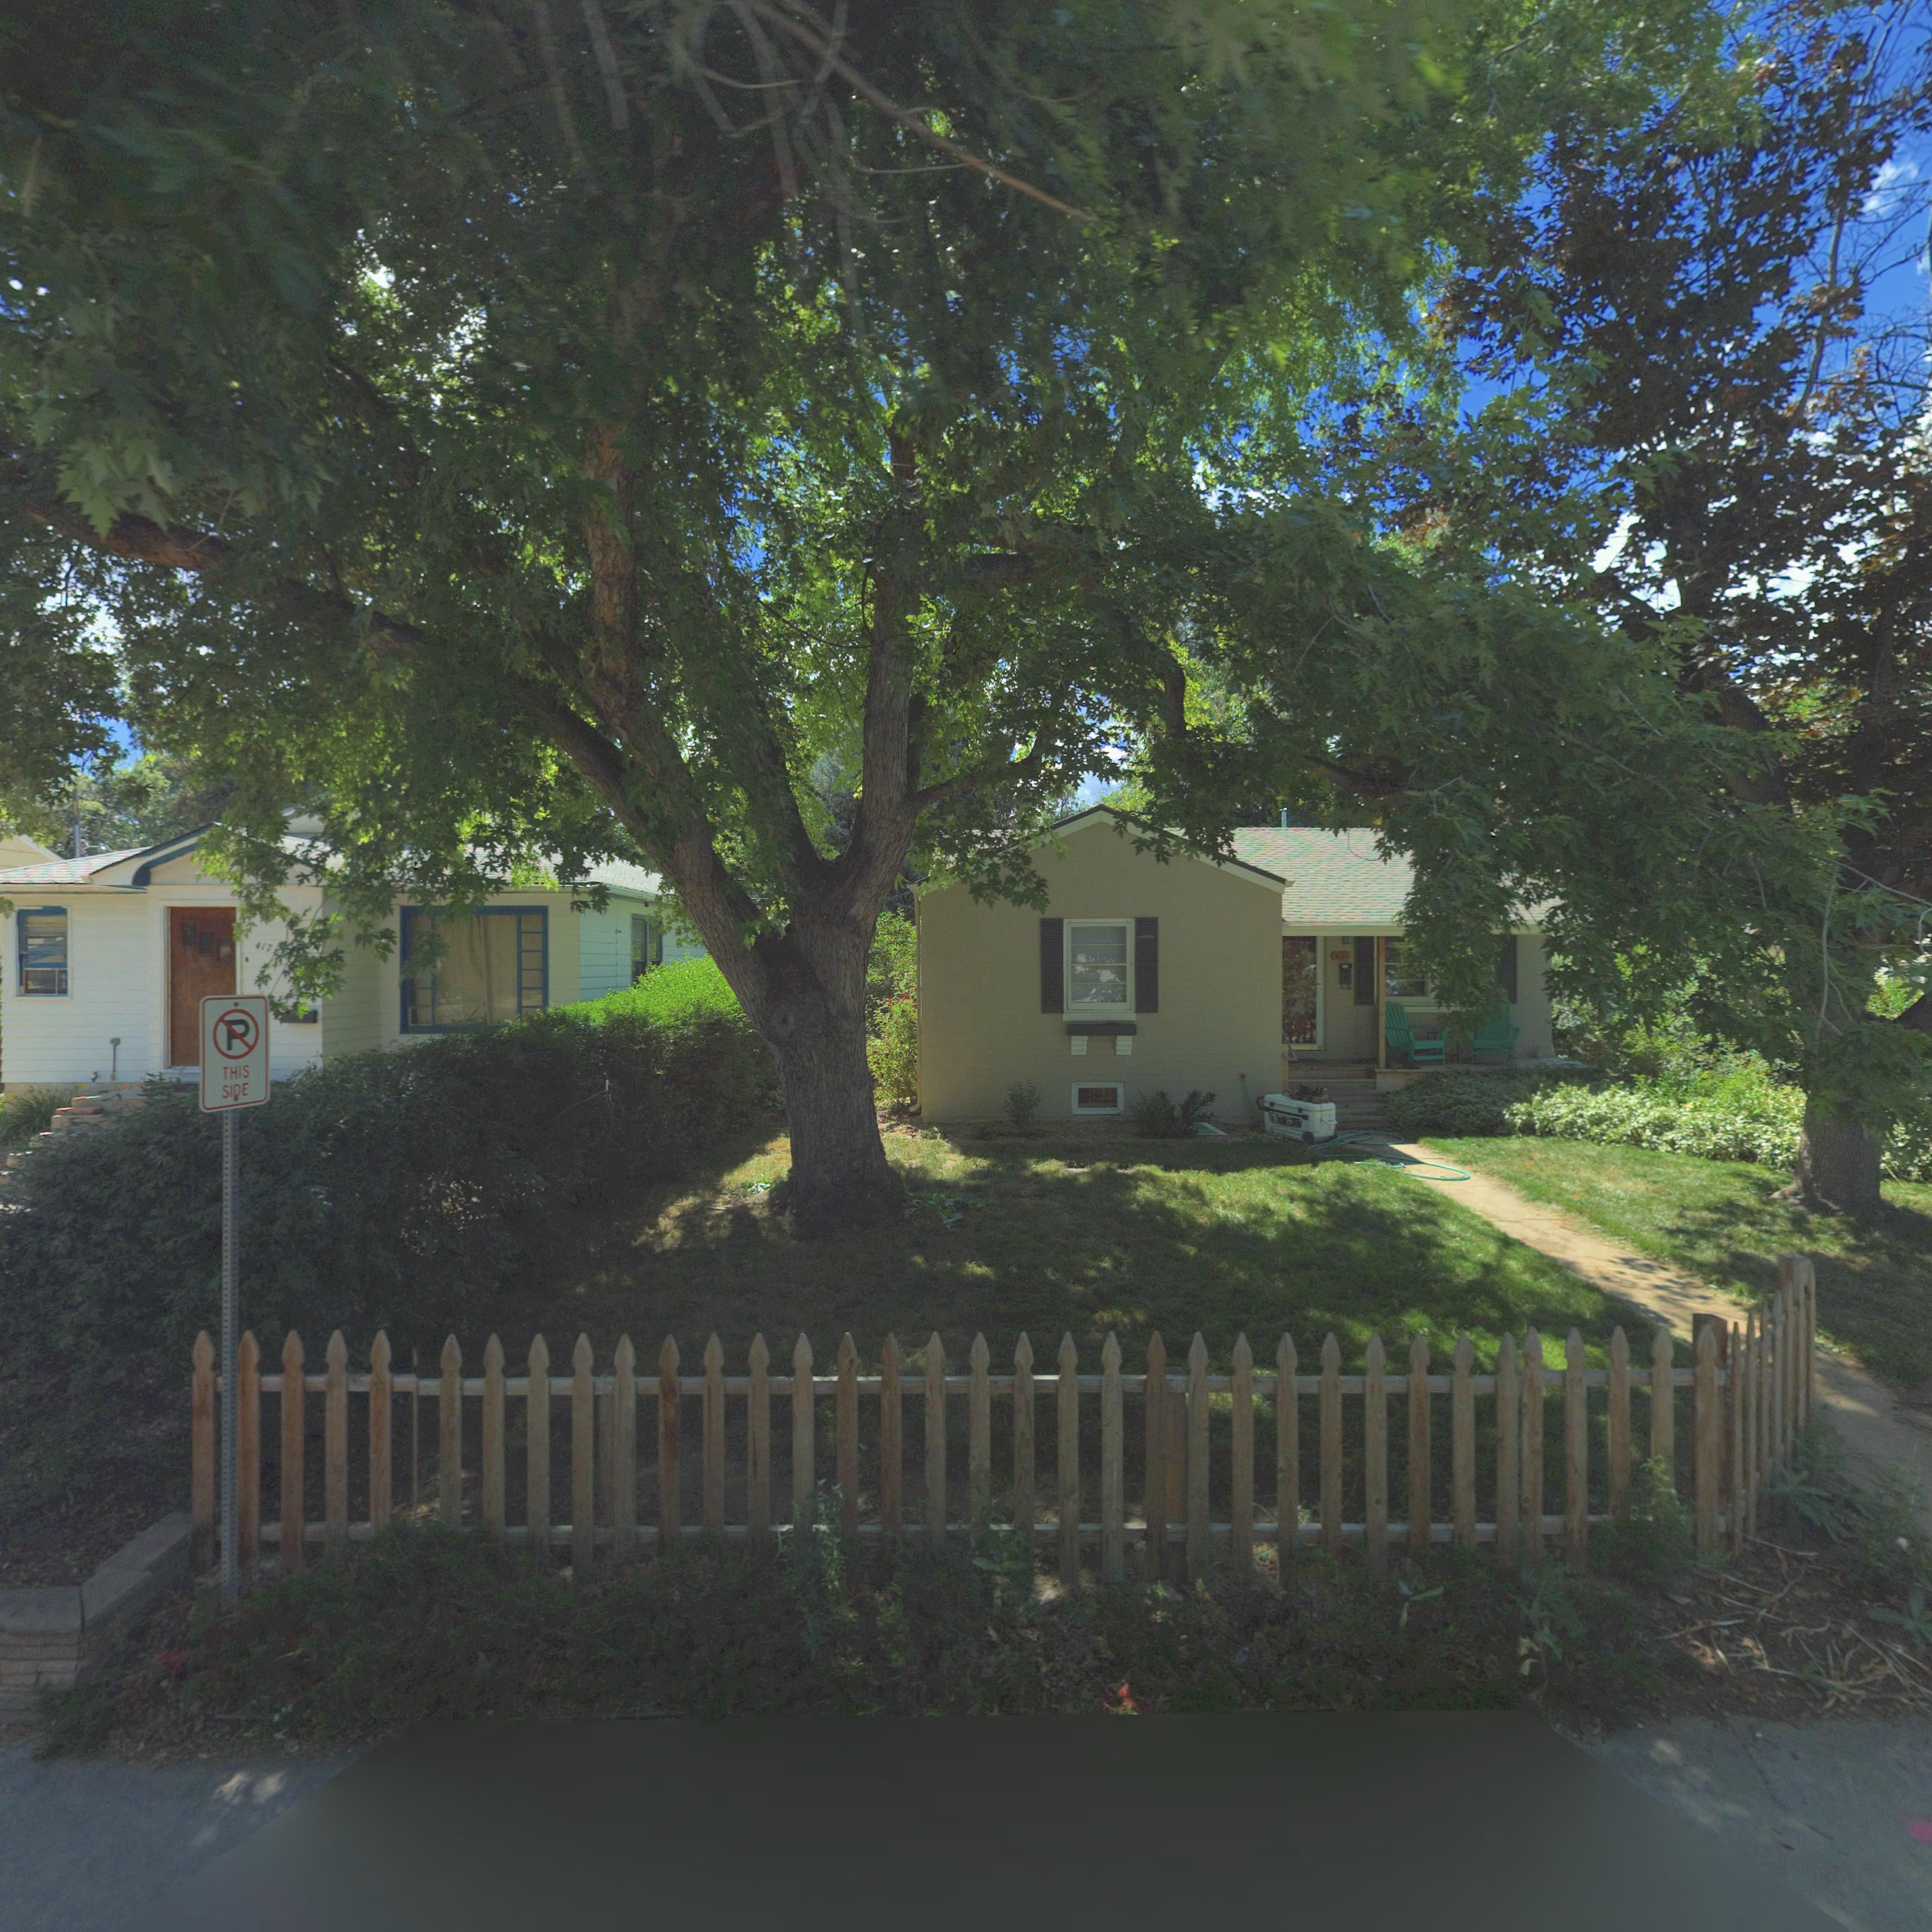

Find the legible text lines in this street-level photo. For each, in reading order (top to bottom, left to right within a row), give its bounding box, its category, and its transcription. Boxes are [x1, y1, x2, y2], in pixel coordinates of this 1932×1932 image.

[254, 941, 274, 952] StreetNumber: 417
[1335, 953, 1347, 959] StreetNumber: 421